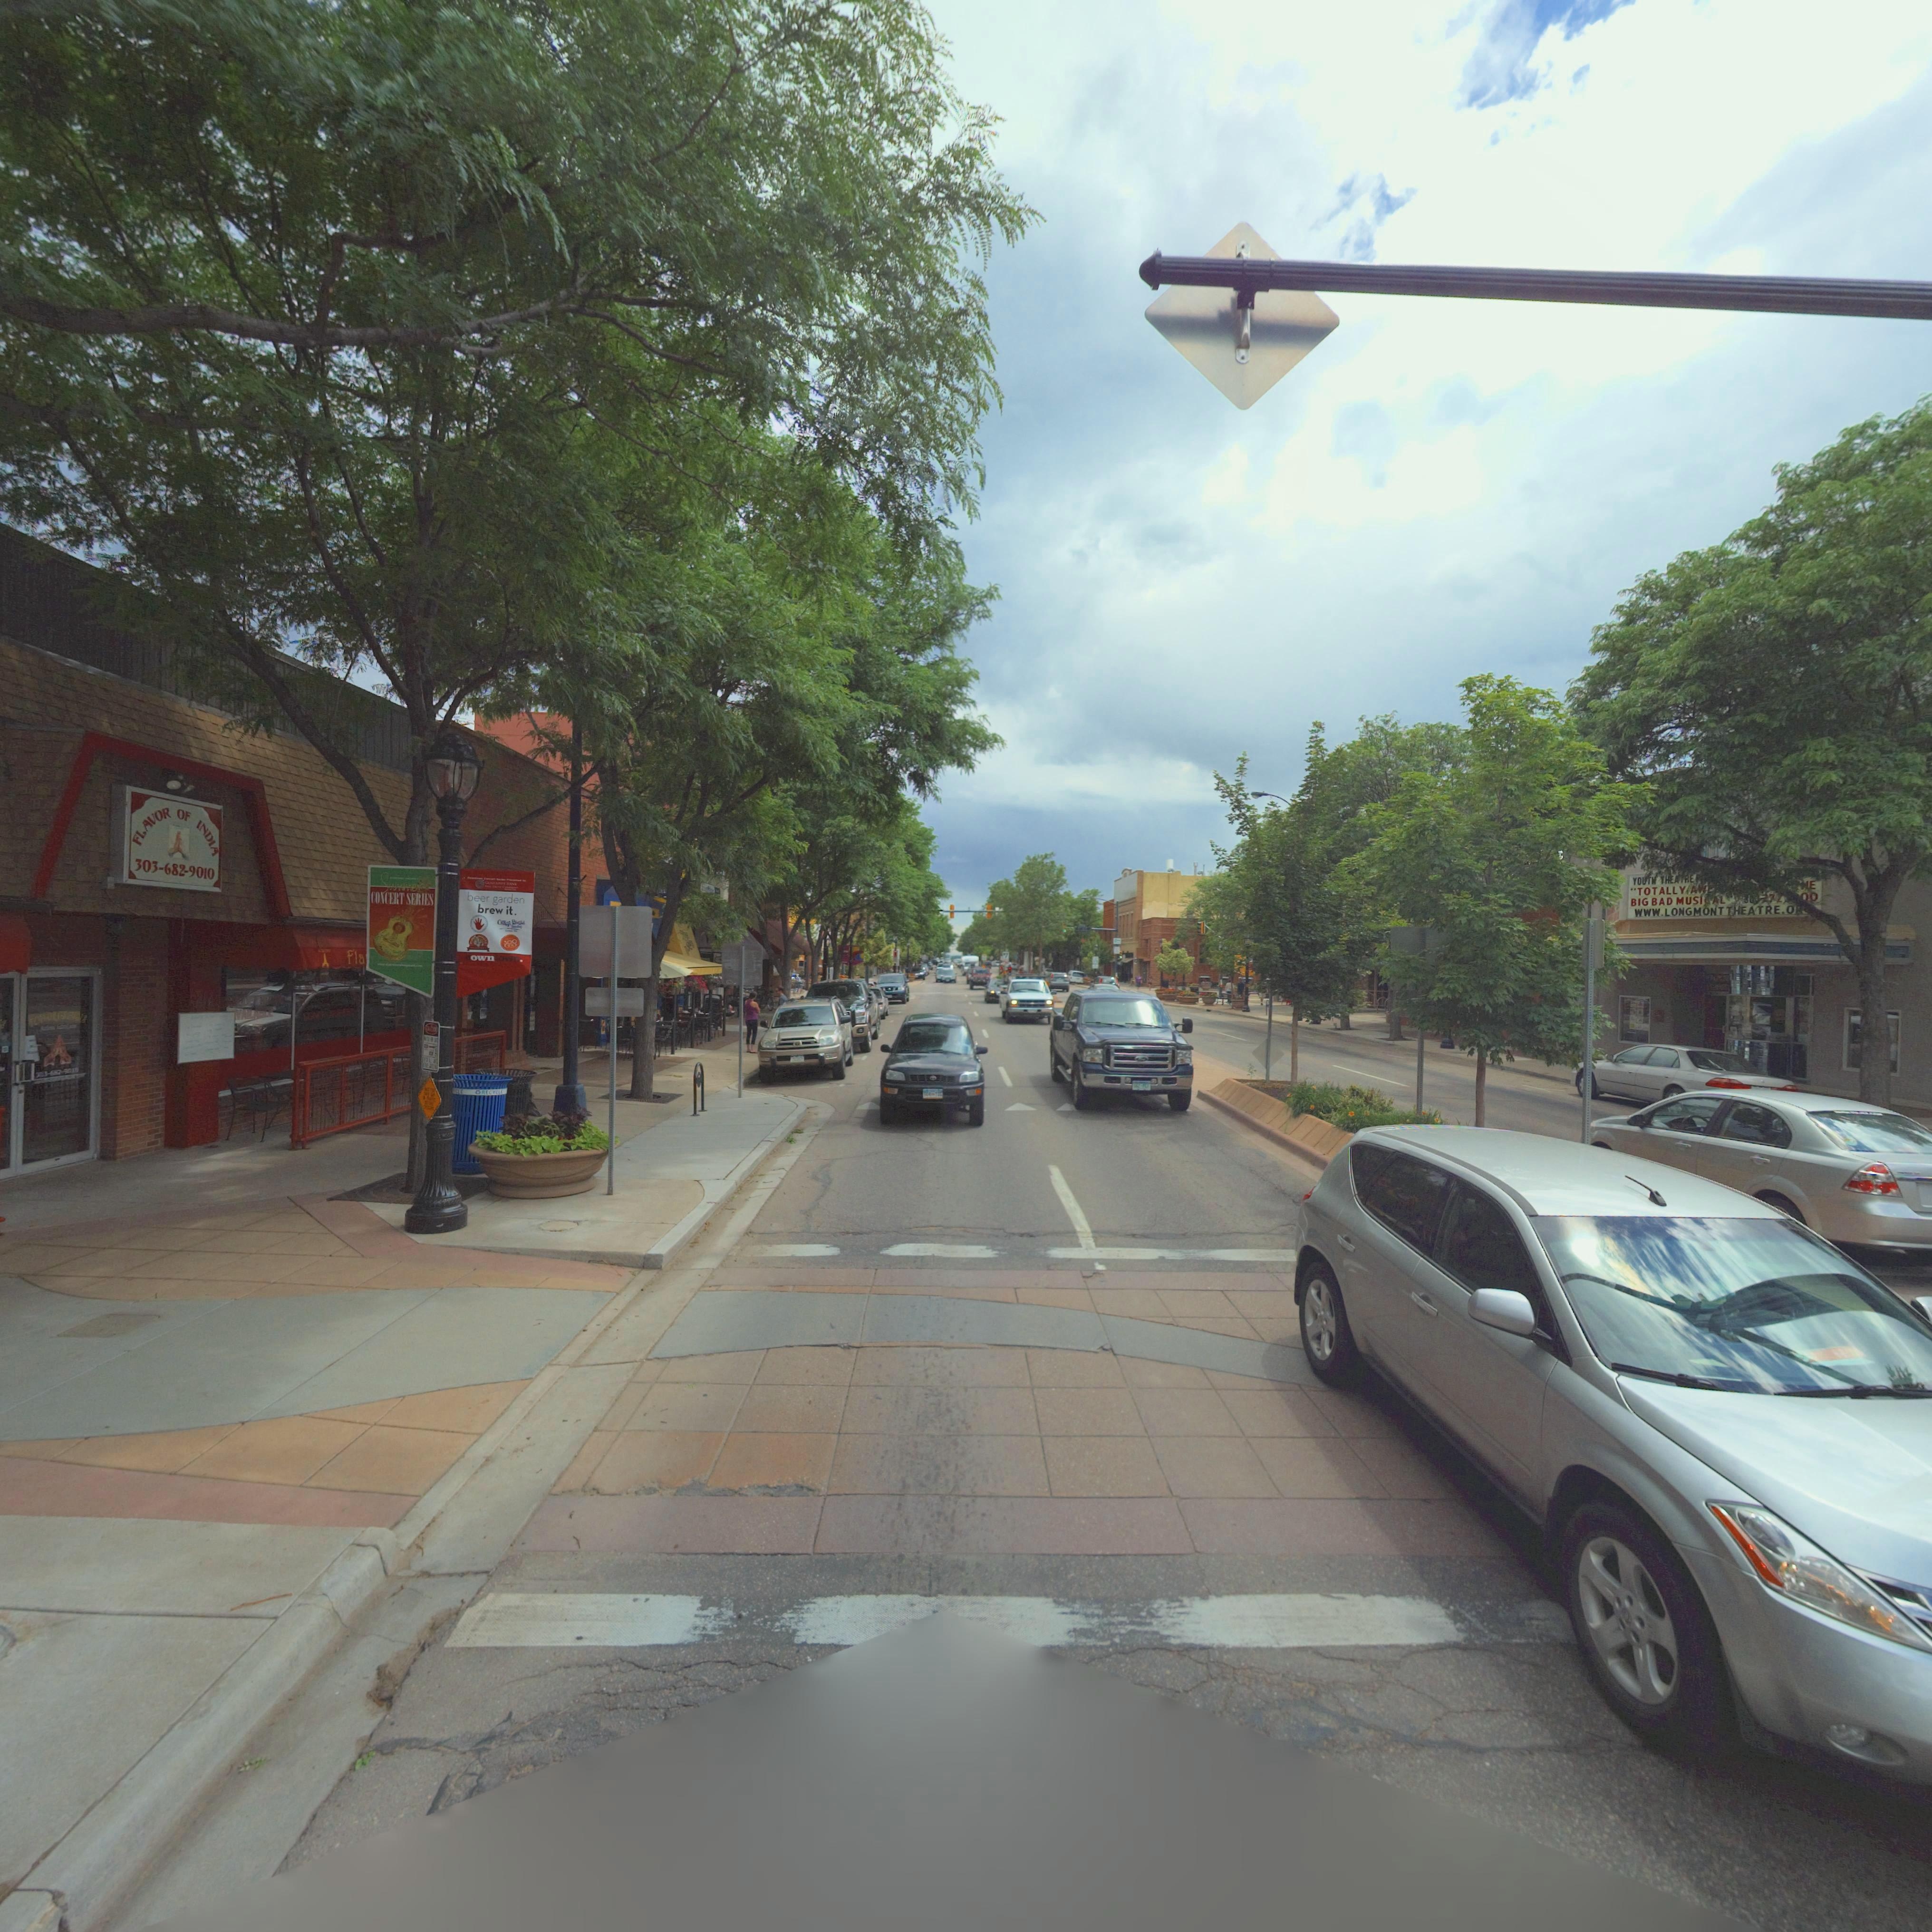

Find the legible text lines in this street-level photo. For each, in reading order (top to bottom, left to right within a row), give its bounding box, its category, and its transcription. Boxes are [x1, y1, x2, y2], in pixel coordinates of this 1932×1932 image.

[131, 805, 219, 858] BusinessName: FLAVOR OF INDIA